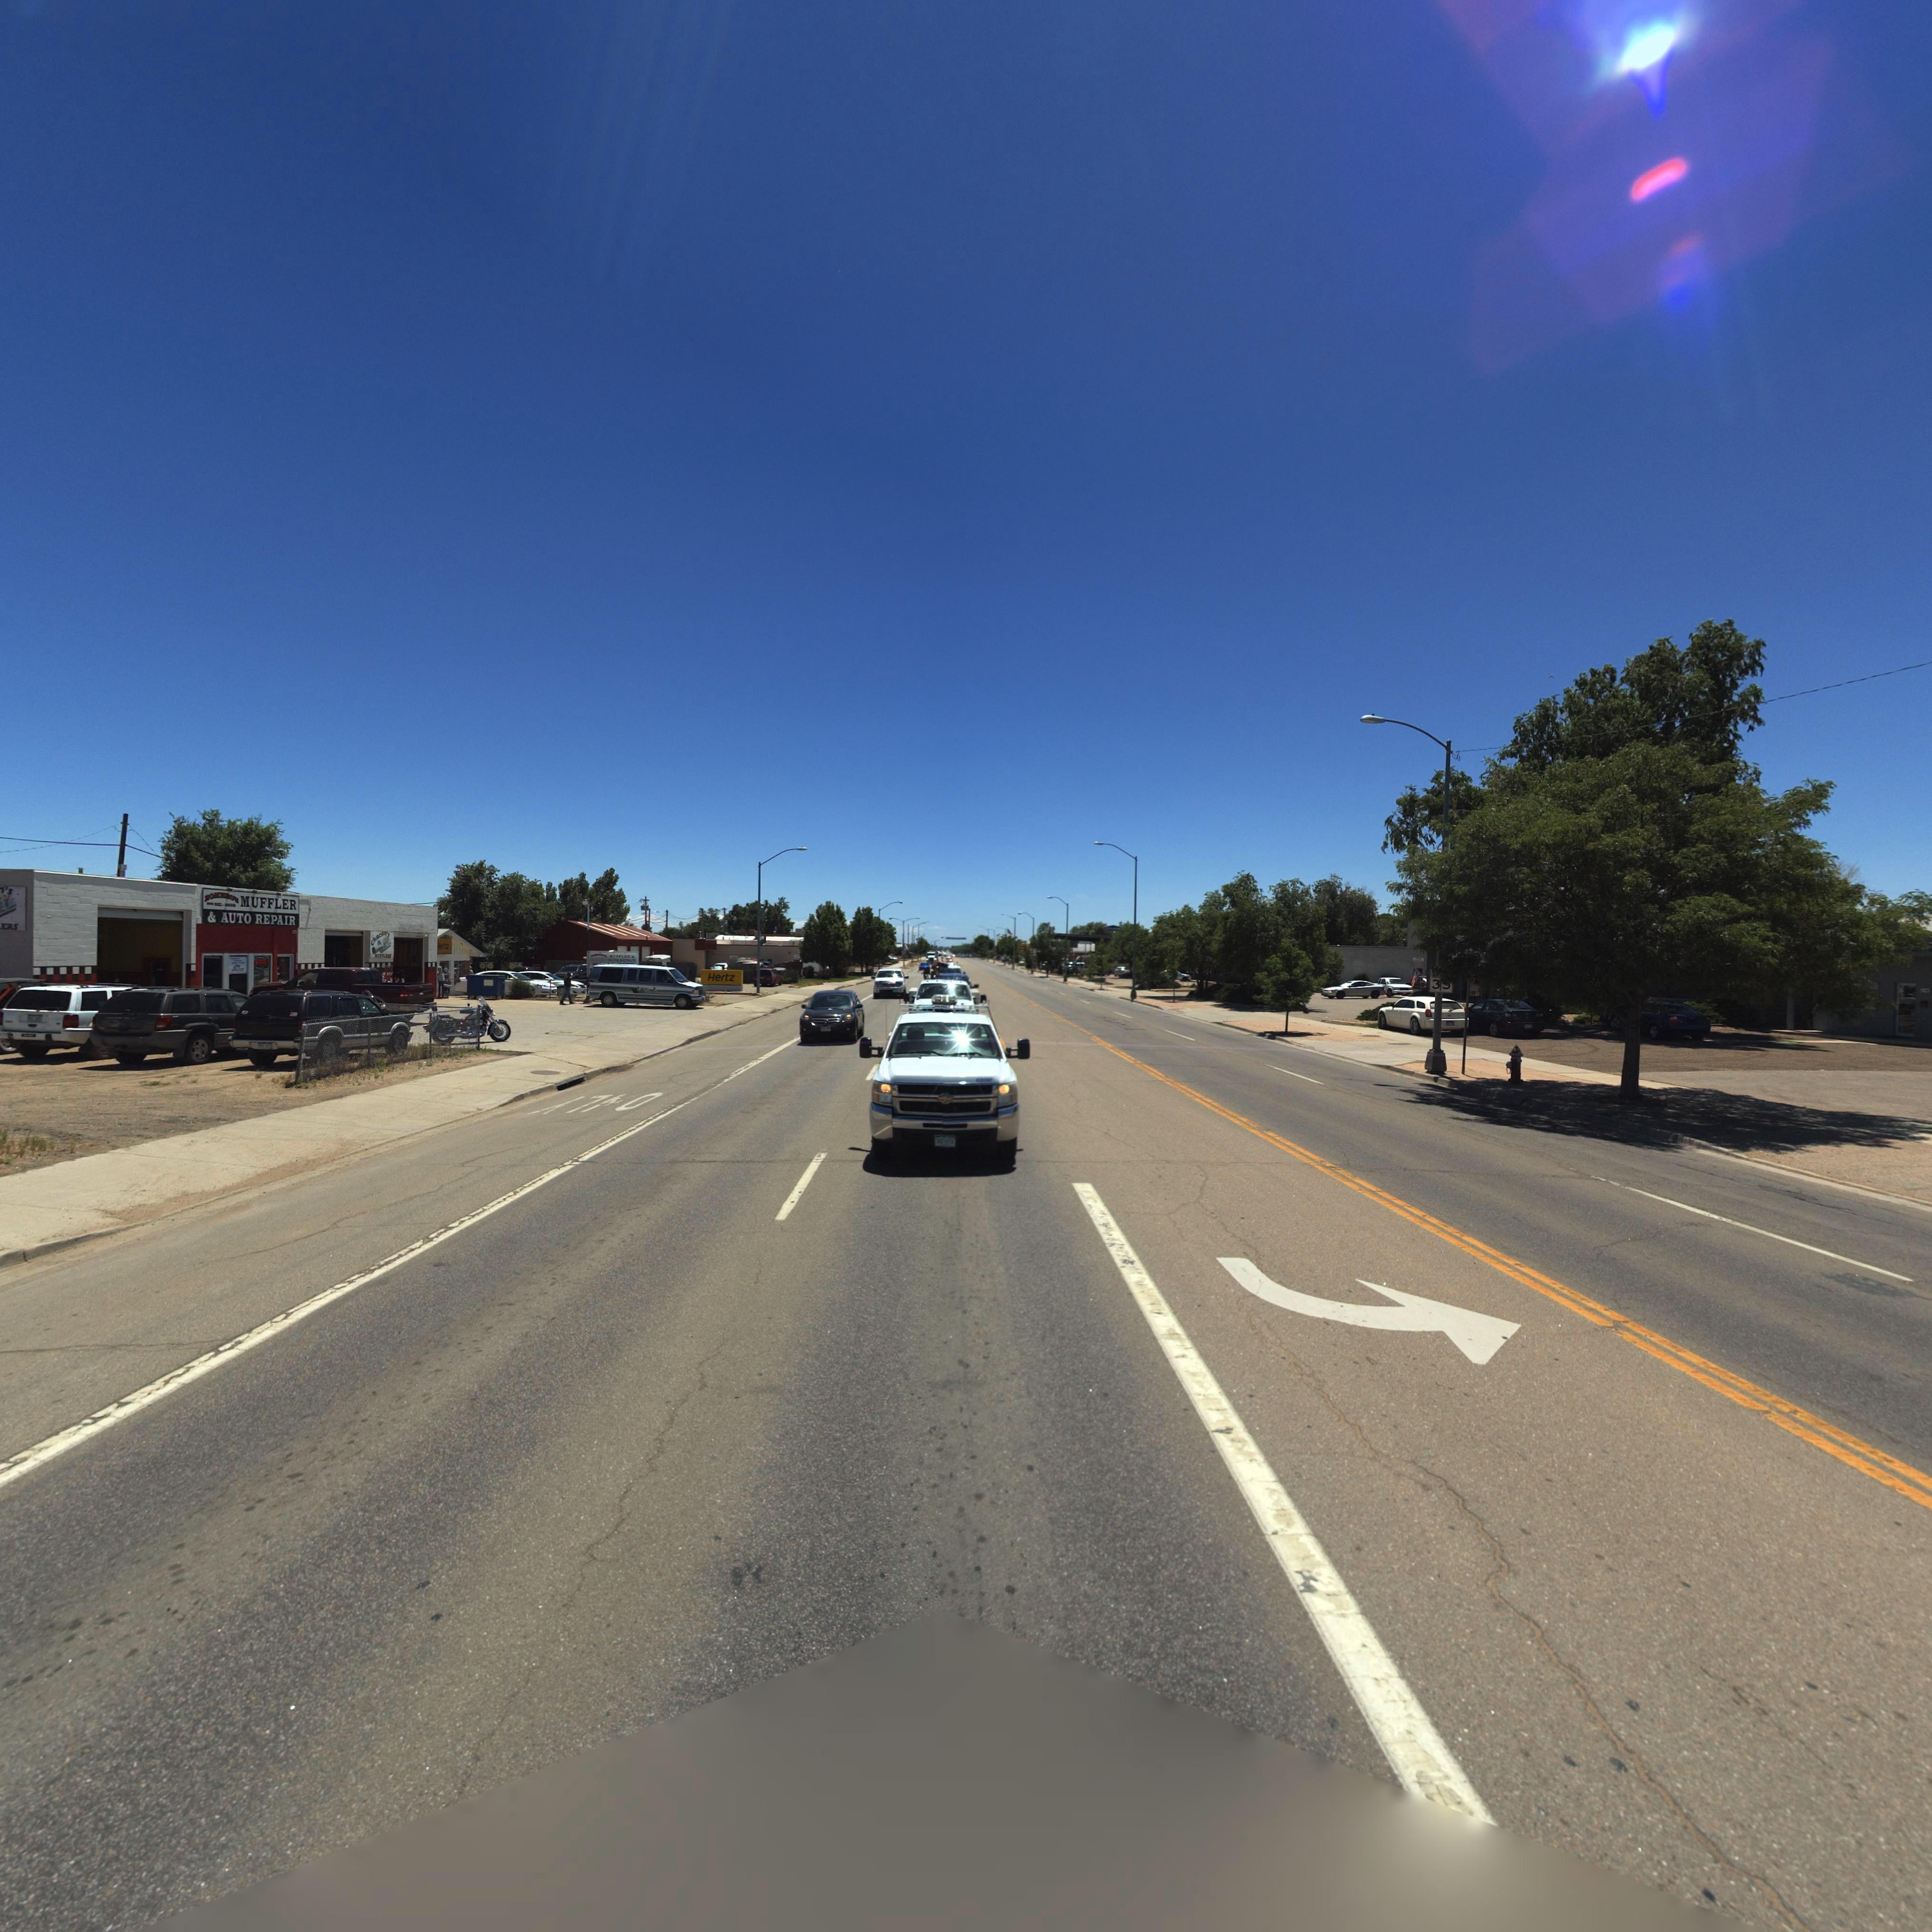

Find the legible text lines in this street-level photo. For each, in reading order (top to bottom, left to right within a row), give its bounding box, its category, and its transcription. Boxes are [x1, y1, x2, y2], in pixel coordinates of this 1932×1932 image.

[6, 888, 13, 895] BusinessName: s
[203, 891, 239, 904] BusinessName: RO***O**
[240, 895, 297, 910] BusinessName: MUFFLER
[206, 910, 296, 926] BusinessName: & AUTO REPAIR
[1, 923, 19, 930] BusinessName: ERS
[371, 931, 390, 946] BusinessName: Chac***
[437, 942, 449, 949] BusinessName: *ertz
[375, 953, 392, 958] BusinessName: M***L***
[607, 958, 636, 962] BusinessName: A**O **P****
[609, 955, 634, 958] BusinessName: ***L*R*
[707, 973, 735, 981] BusinessName: Hertz